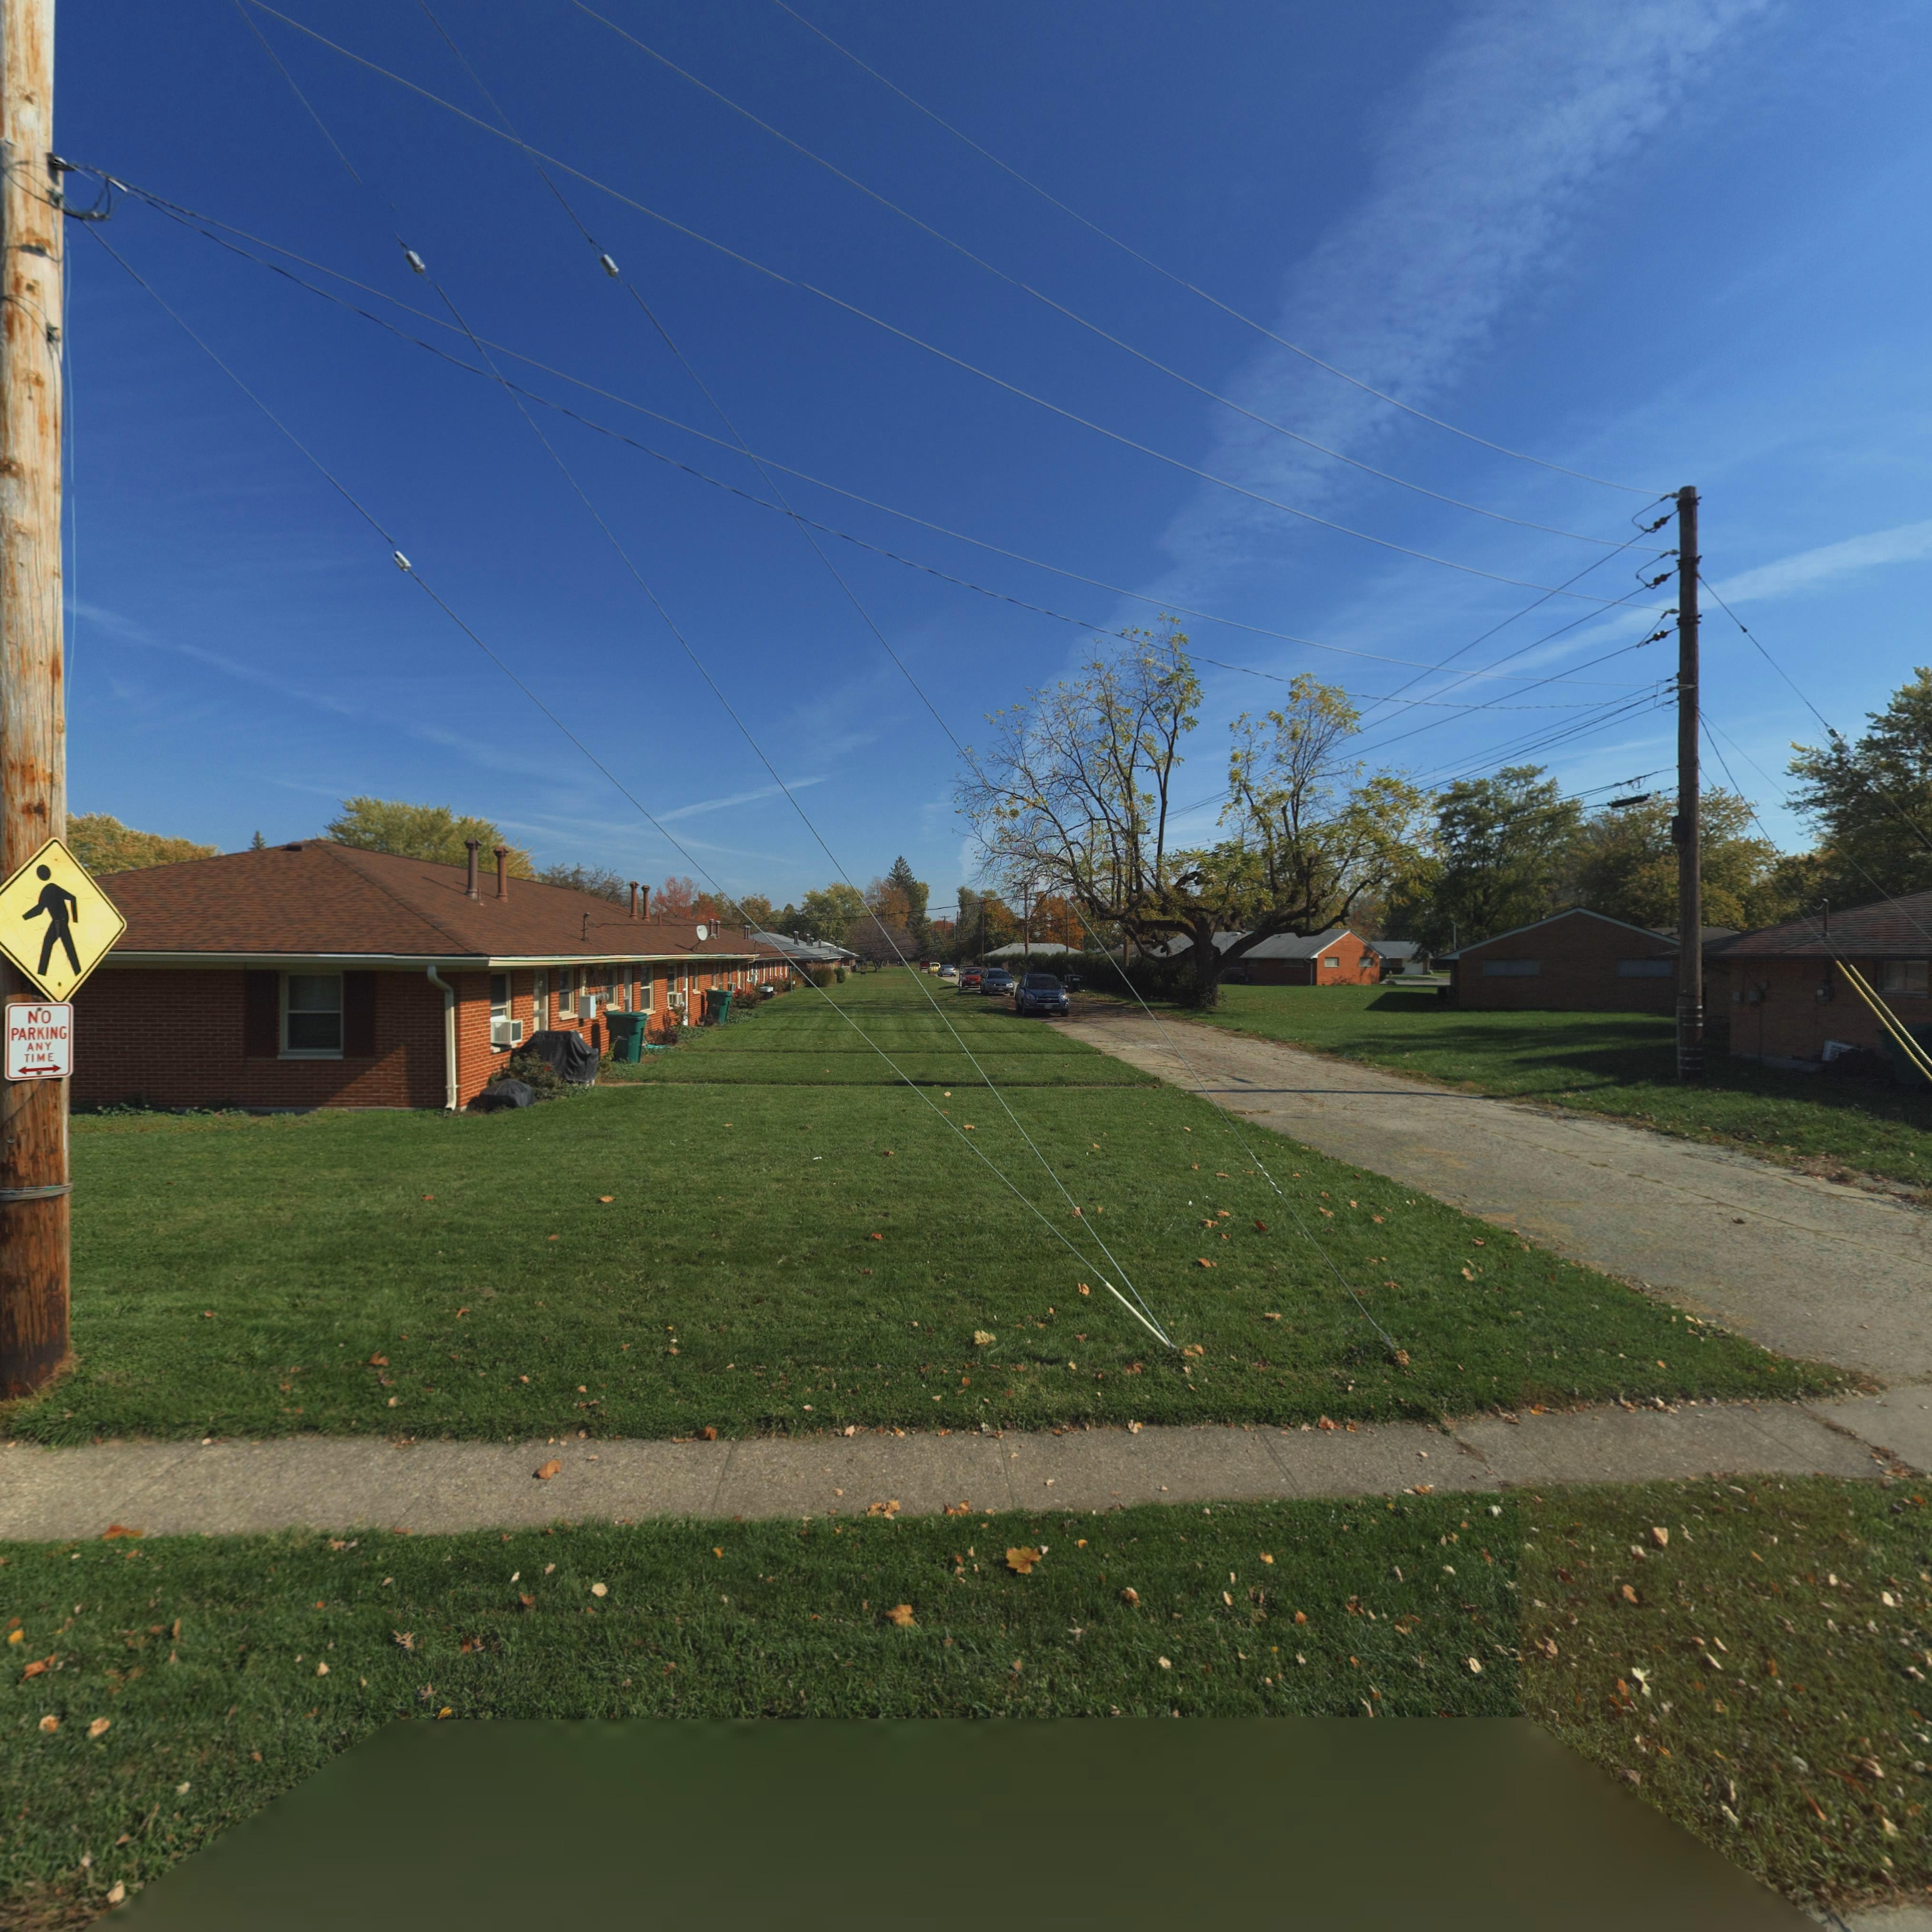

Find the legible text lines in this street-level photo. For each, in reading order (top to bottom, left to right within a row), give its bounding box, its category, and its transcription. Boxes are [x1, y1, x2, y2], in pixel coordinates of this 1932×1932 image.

[28, 1010, 51, 1024] None: NO
[10, 1026, 67, 1042] None: PARKING
[26, 1041, 53, 1052] None: ANY
[23, 1053, 54, 1063] None: TIME